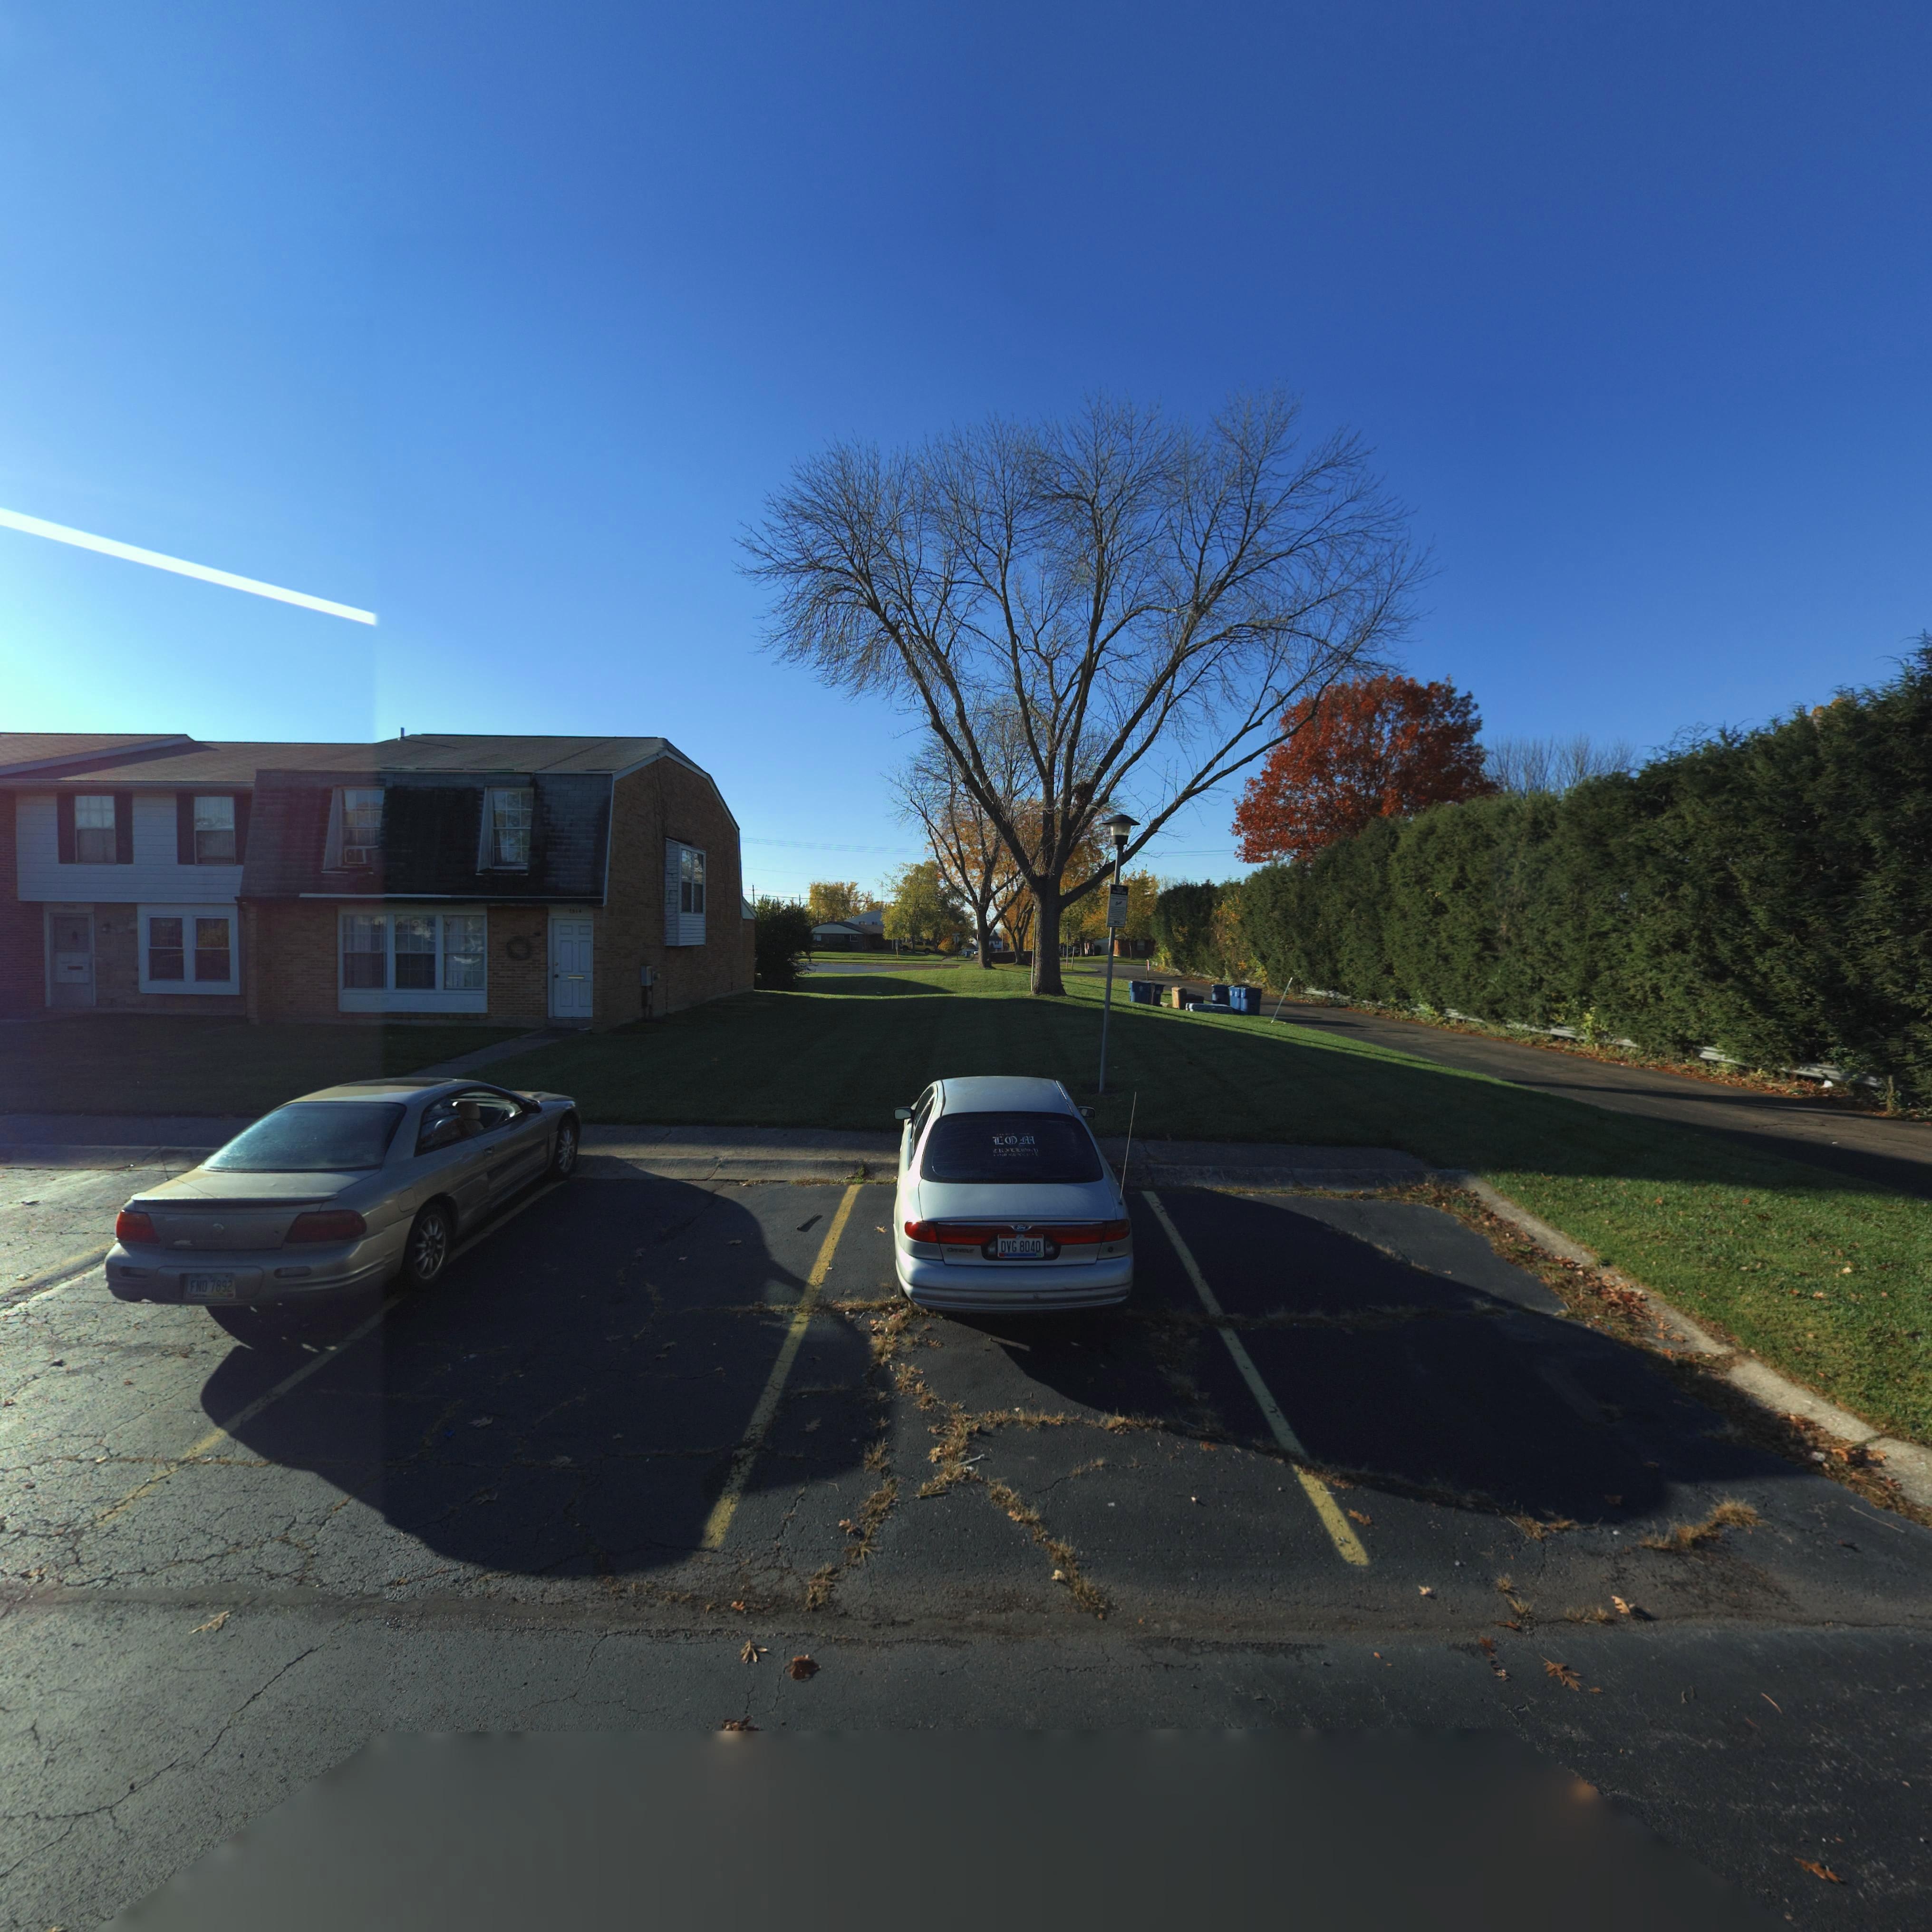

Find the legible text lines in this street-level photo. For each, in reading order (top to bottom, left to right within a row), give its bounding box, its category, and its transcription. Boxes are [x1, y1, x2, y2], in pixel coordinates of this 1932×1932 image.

[568, 908, 583, 915] StreetNumber: 7514